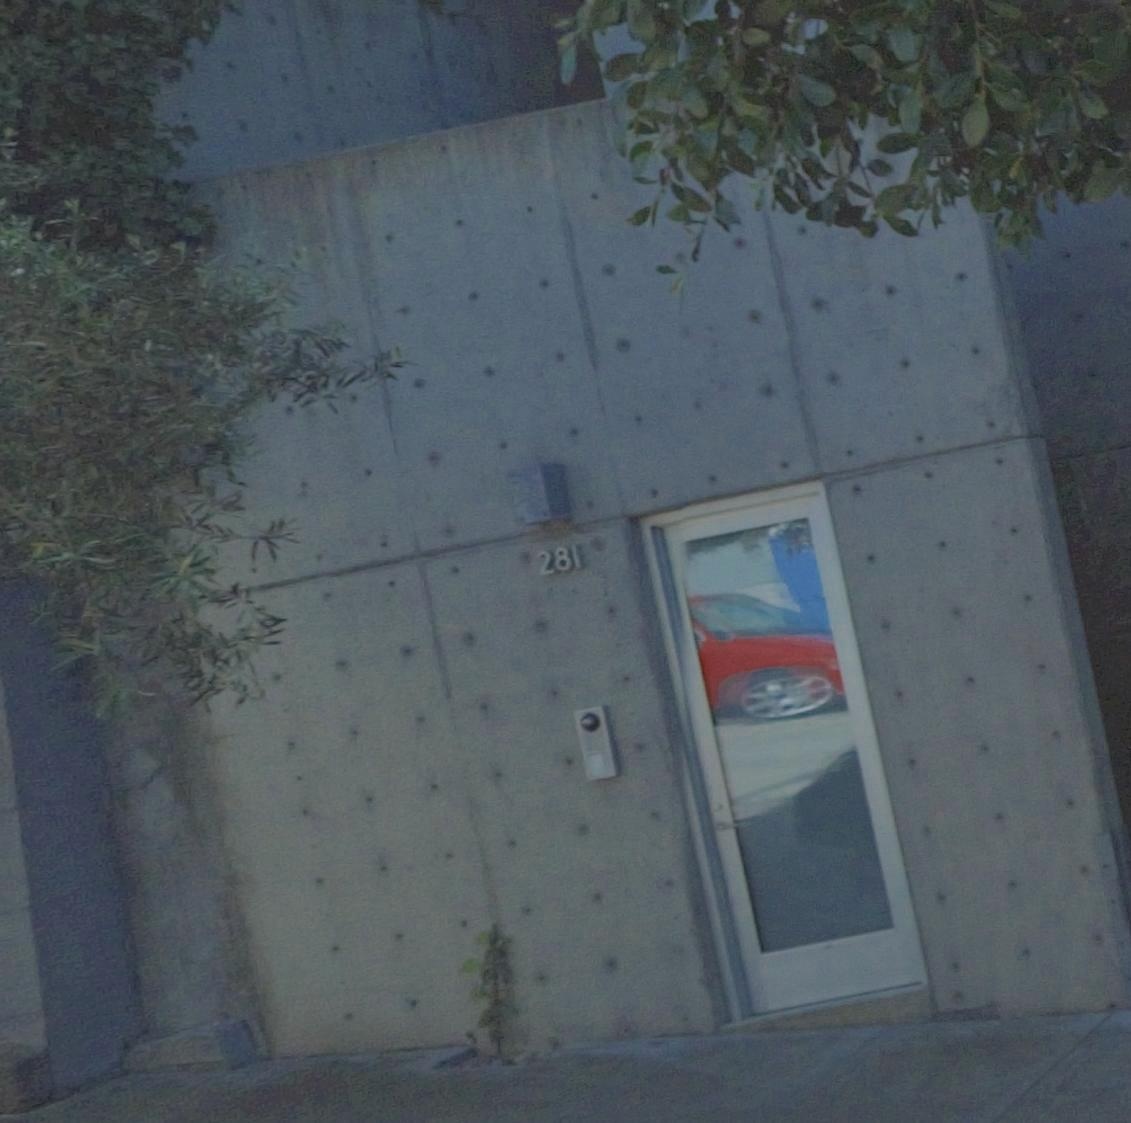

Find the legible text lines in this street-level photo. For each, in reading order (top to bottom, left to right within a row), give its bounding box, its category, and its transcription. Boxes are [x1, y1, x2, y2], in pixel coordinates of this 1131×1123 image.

[536, 542, 584, 578] StreetNumber: 281